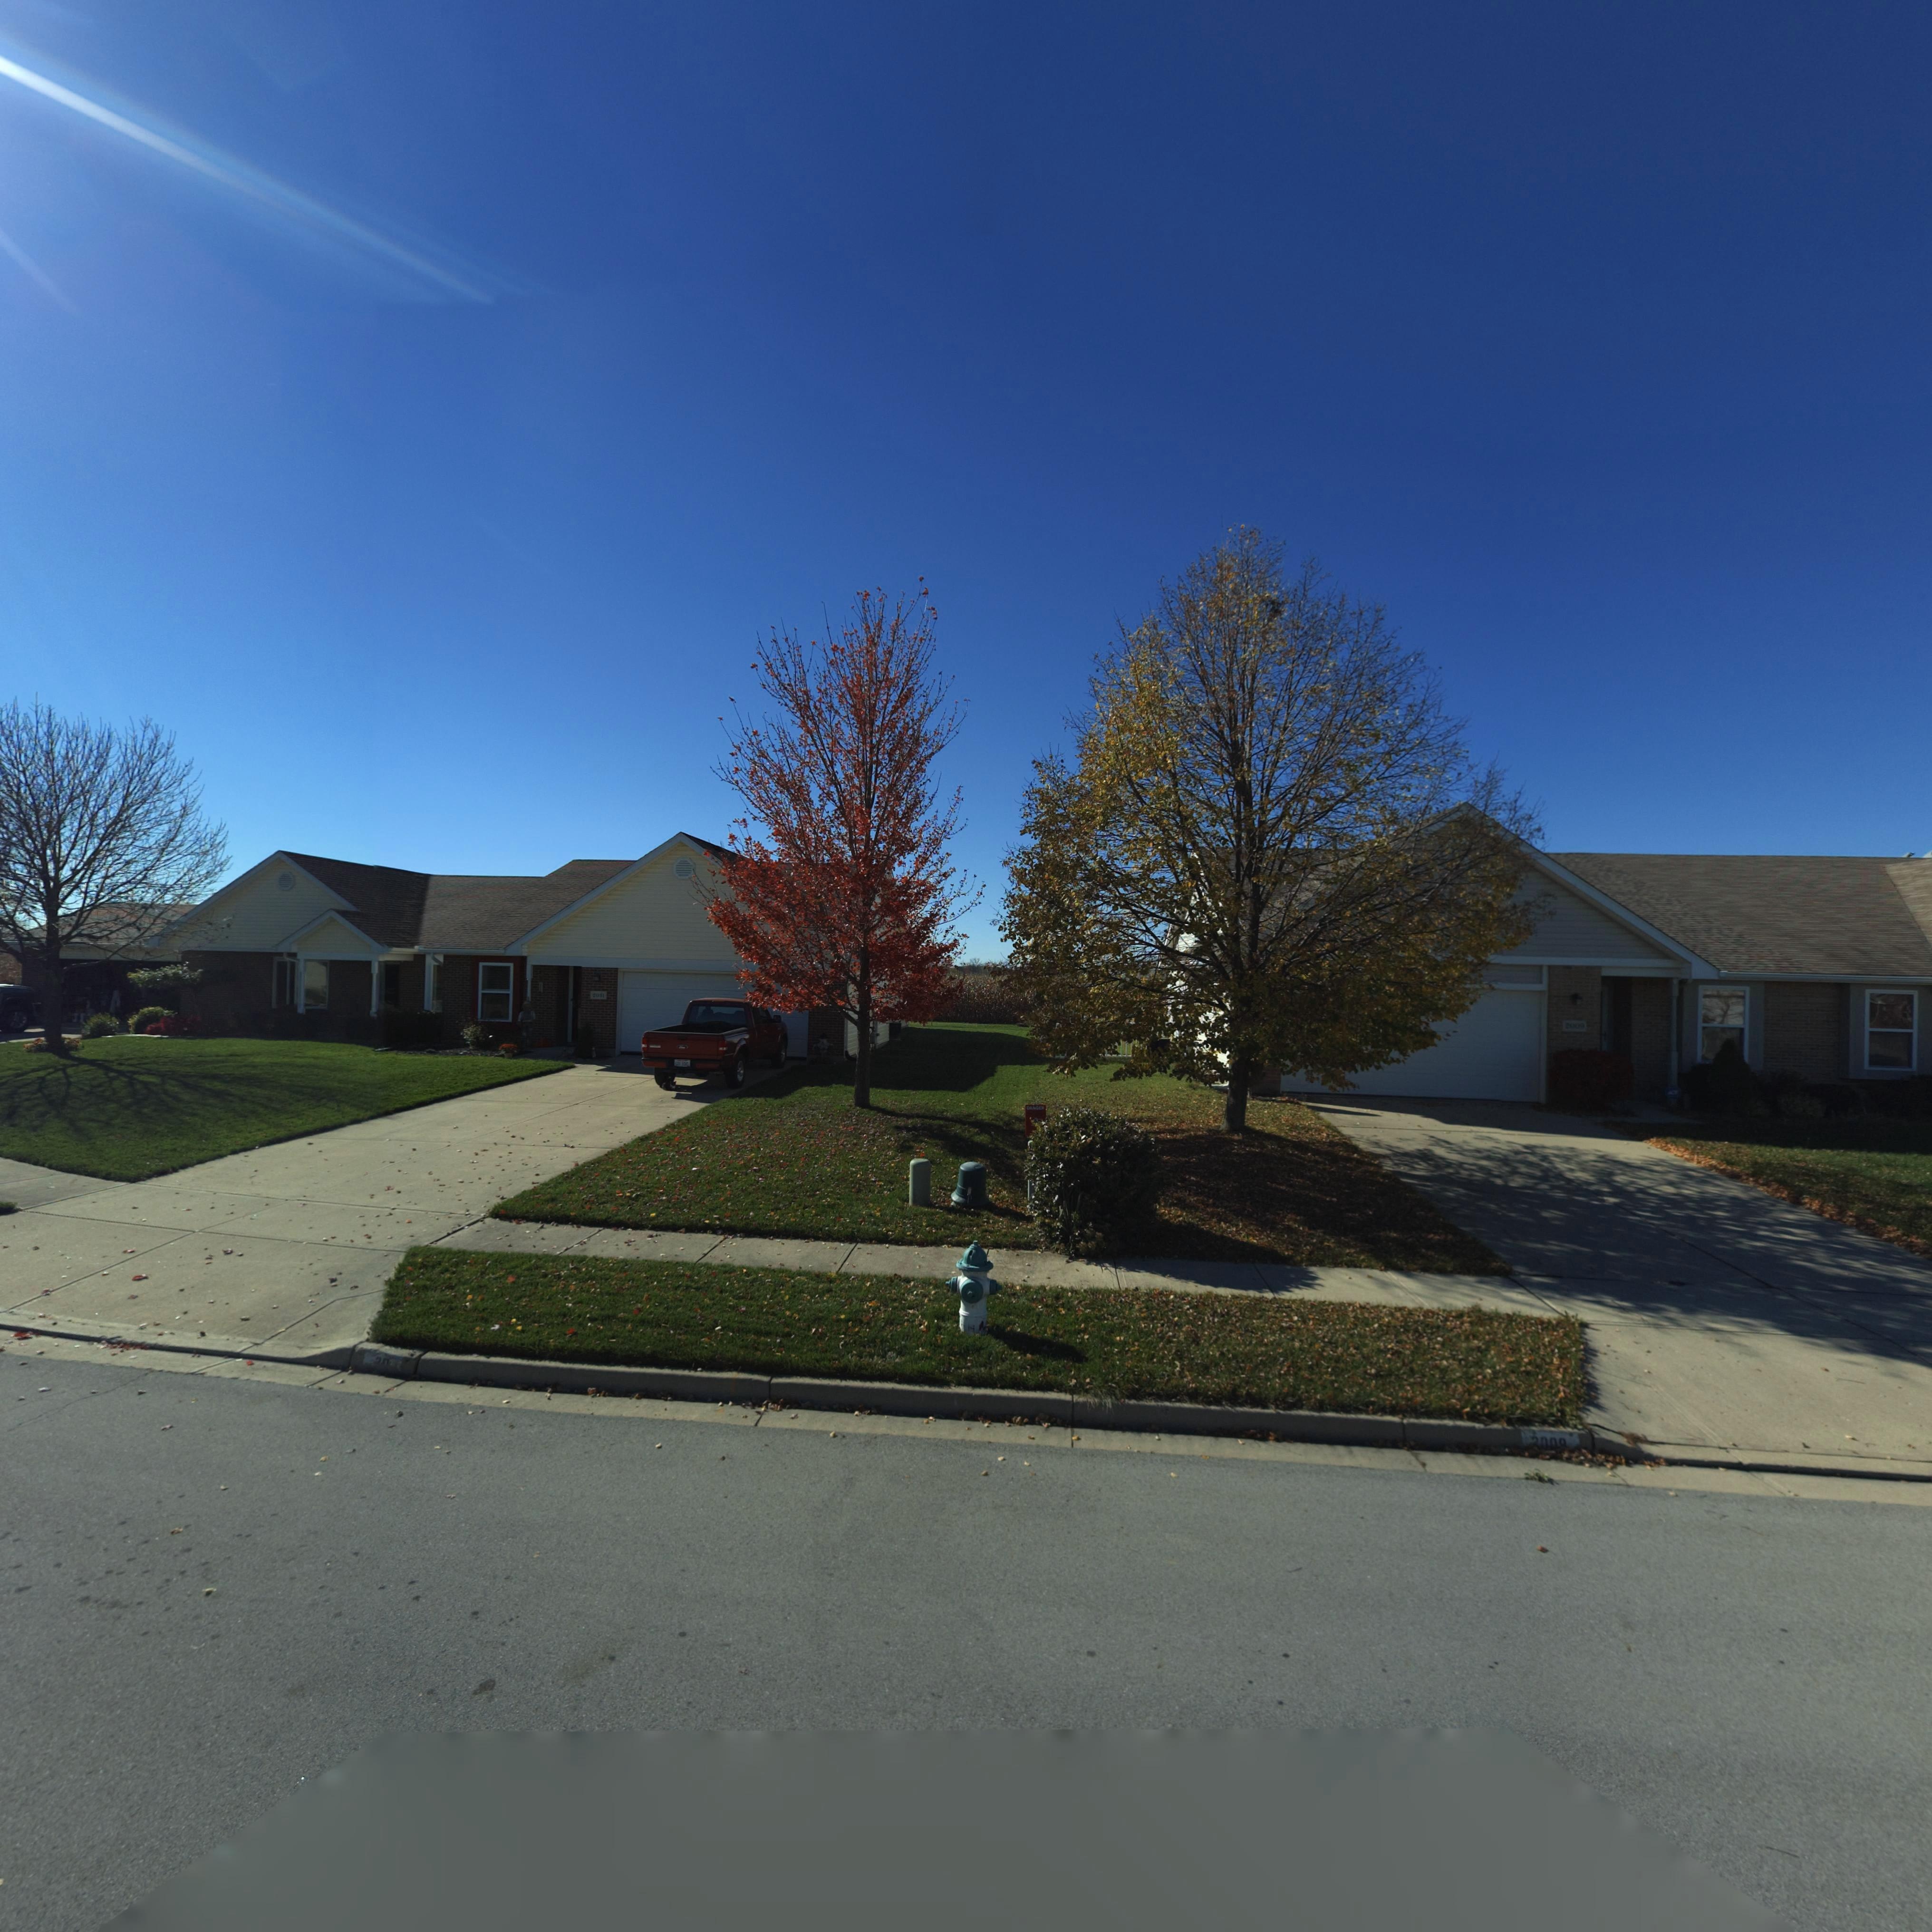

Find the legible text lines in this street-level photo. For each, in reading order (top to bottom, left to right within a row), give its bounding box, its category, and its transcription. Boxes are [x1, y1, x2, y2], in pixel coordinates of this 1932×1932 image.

[592, 992, 605, 998] StreetNumber: *011
[1564, 1021, 1586, 1031] StreetNumber: *009